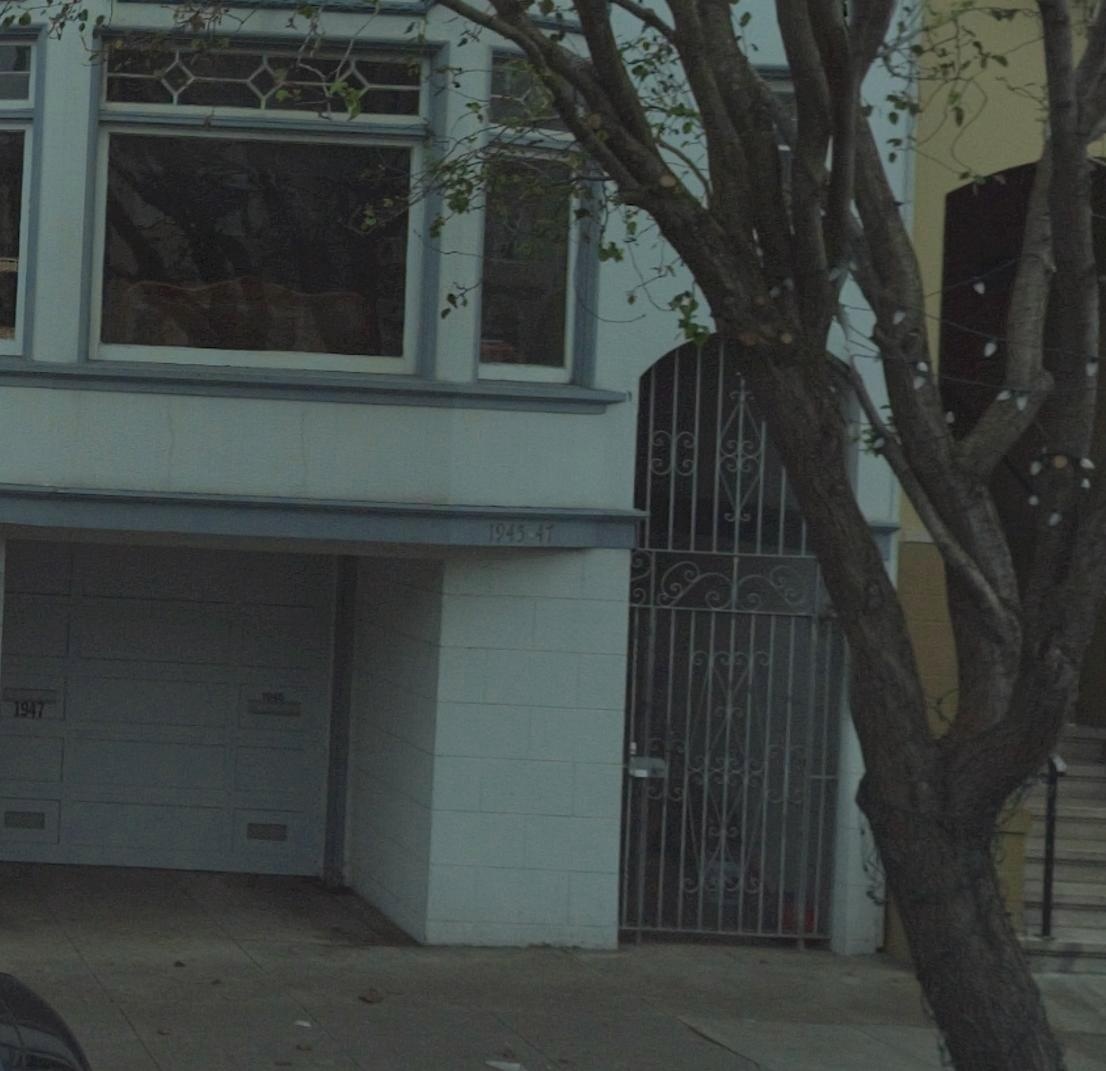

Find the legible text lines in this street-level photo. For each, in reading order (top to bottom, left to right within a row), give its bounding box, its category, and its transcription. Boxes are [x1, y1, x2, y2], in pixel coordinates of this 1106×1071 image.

[487, 521, 527, 545] StreetNumber: 1945
[532, 521, 554, 544] StreetNumber: 47
[12, 698, 44, 719] StreetNumber: 1947